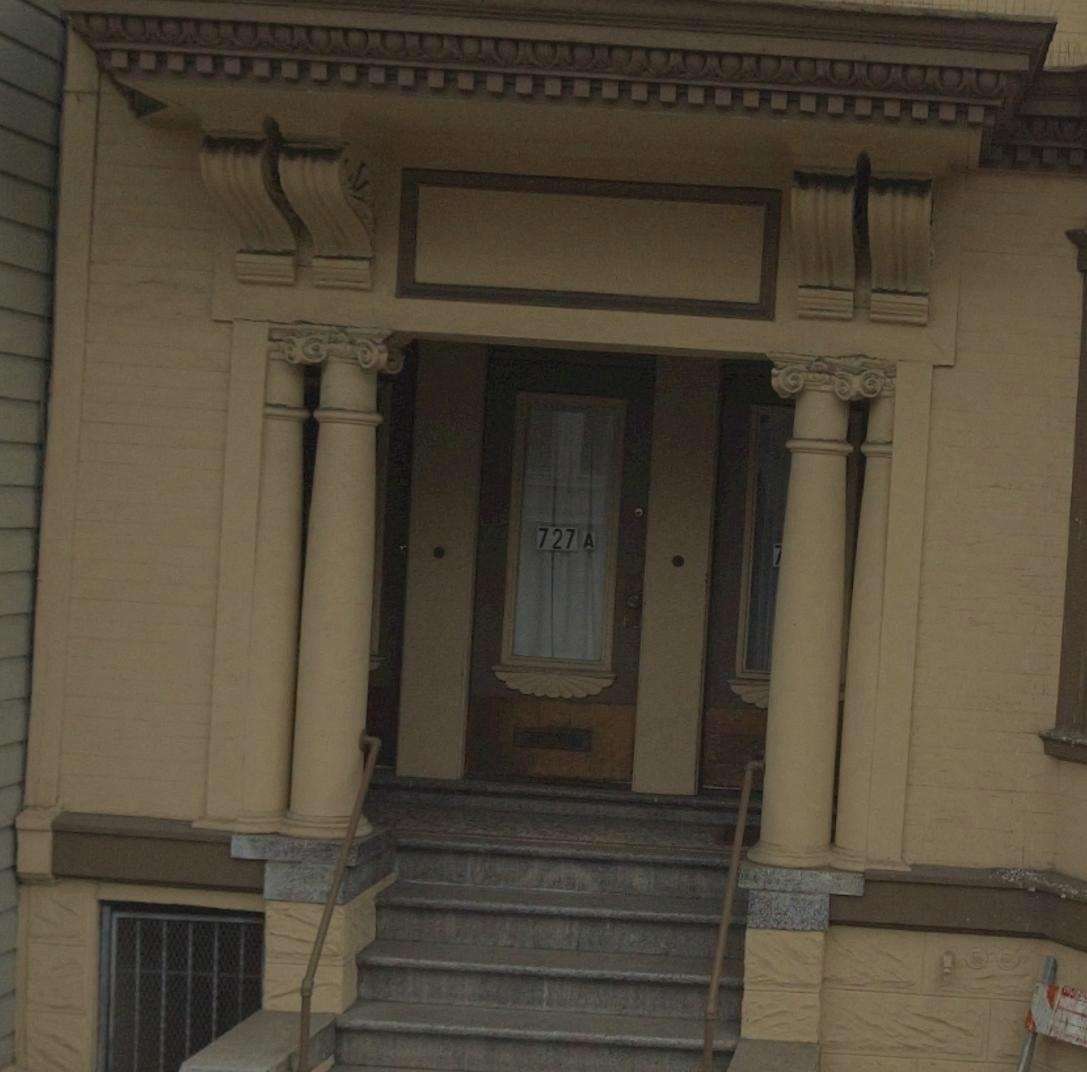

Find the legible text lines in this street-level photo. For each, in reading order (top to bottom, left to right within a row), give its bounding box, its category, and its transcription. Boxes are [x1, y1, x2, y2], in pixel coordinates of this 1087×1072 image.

[536, 526, 595, 551] StreetNumber: 727A